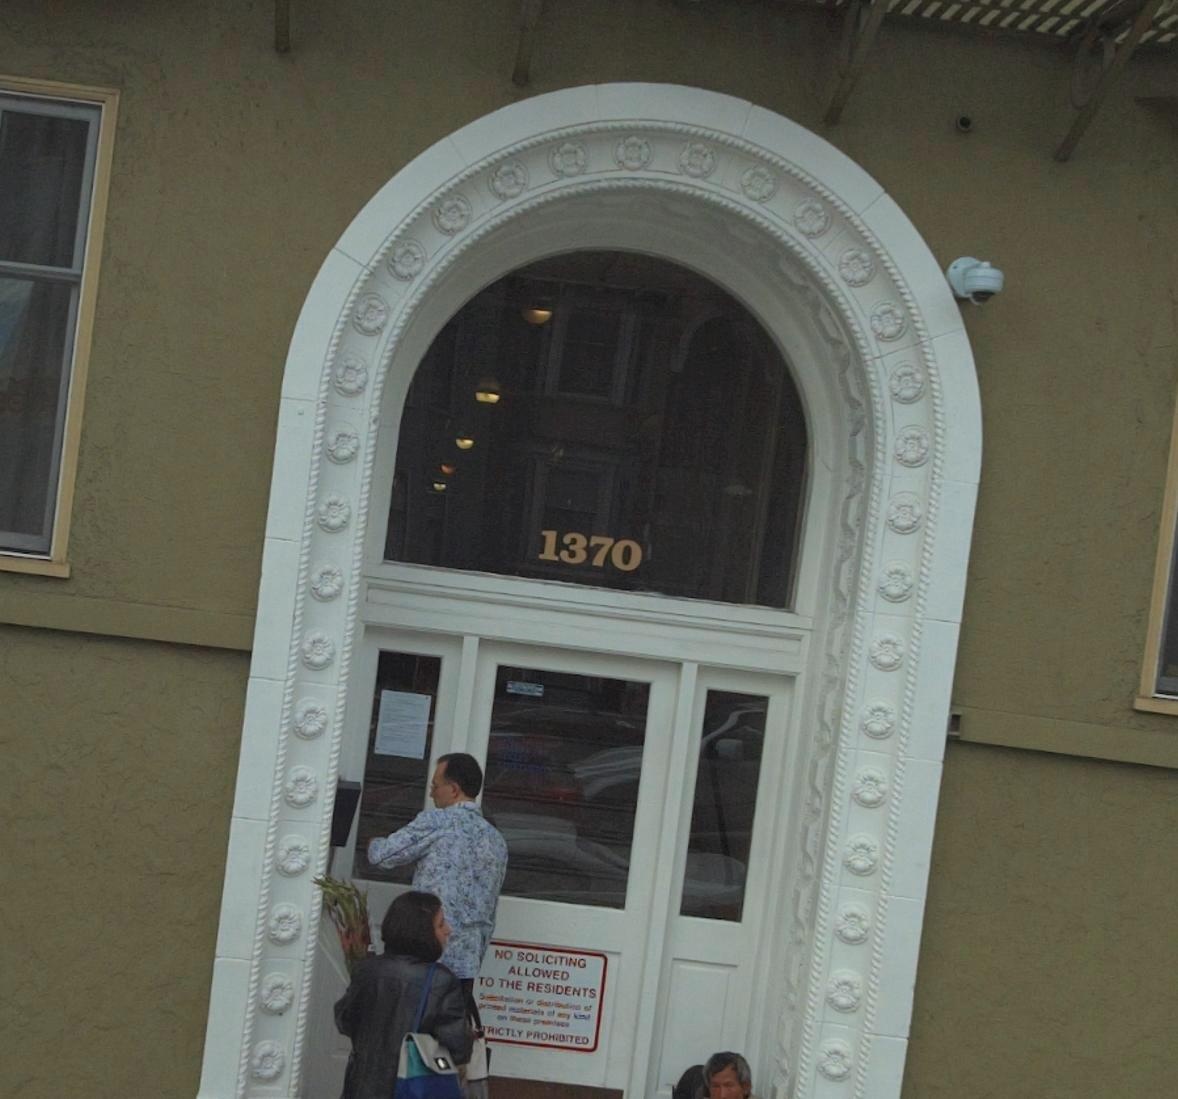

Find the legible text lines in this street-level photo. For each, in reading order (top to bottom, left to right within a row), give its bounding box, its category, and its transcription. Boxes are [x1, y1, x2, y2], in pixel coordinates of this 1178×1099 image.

[536, 528, 644, 575] StreetNumber: 1370
[492, 947, 588, 970] None: NO SOLICITING
[505, 962, 572, 983] None: ALLOWED
[476, 973, 599, 1001] None: TO THE RESIDENTS
[485, 1023, 591, 1047] None: RICTLY PROHIBITED